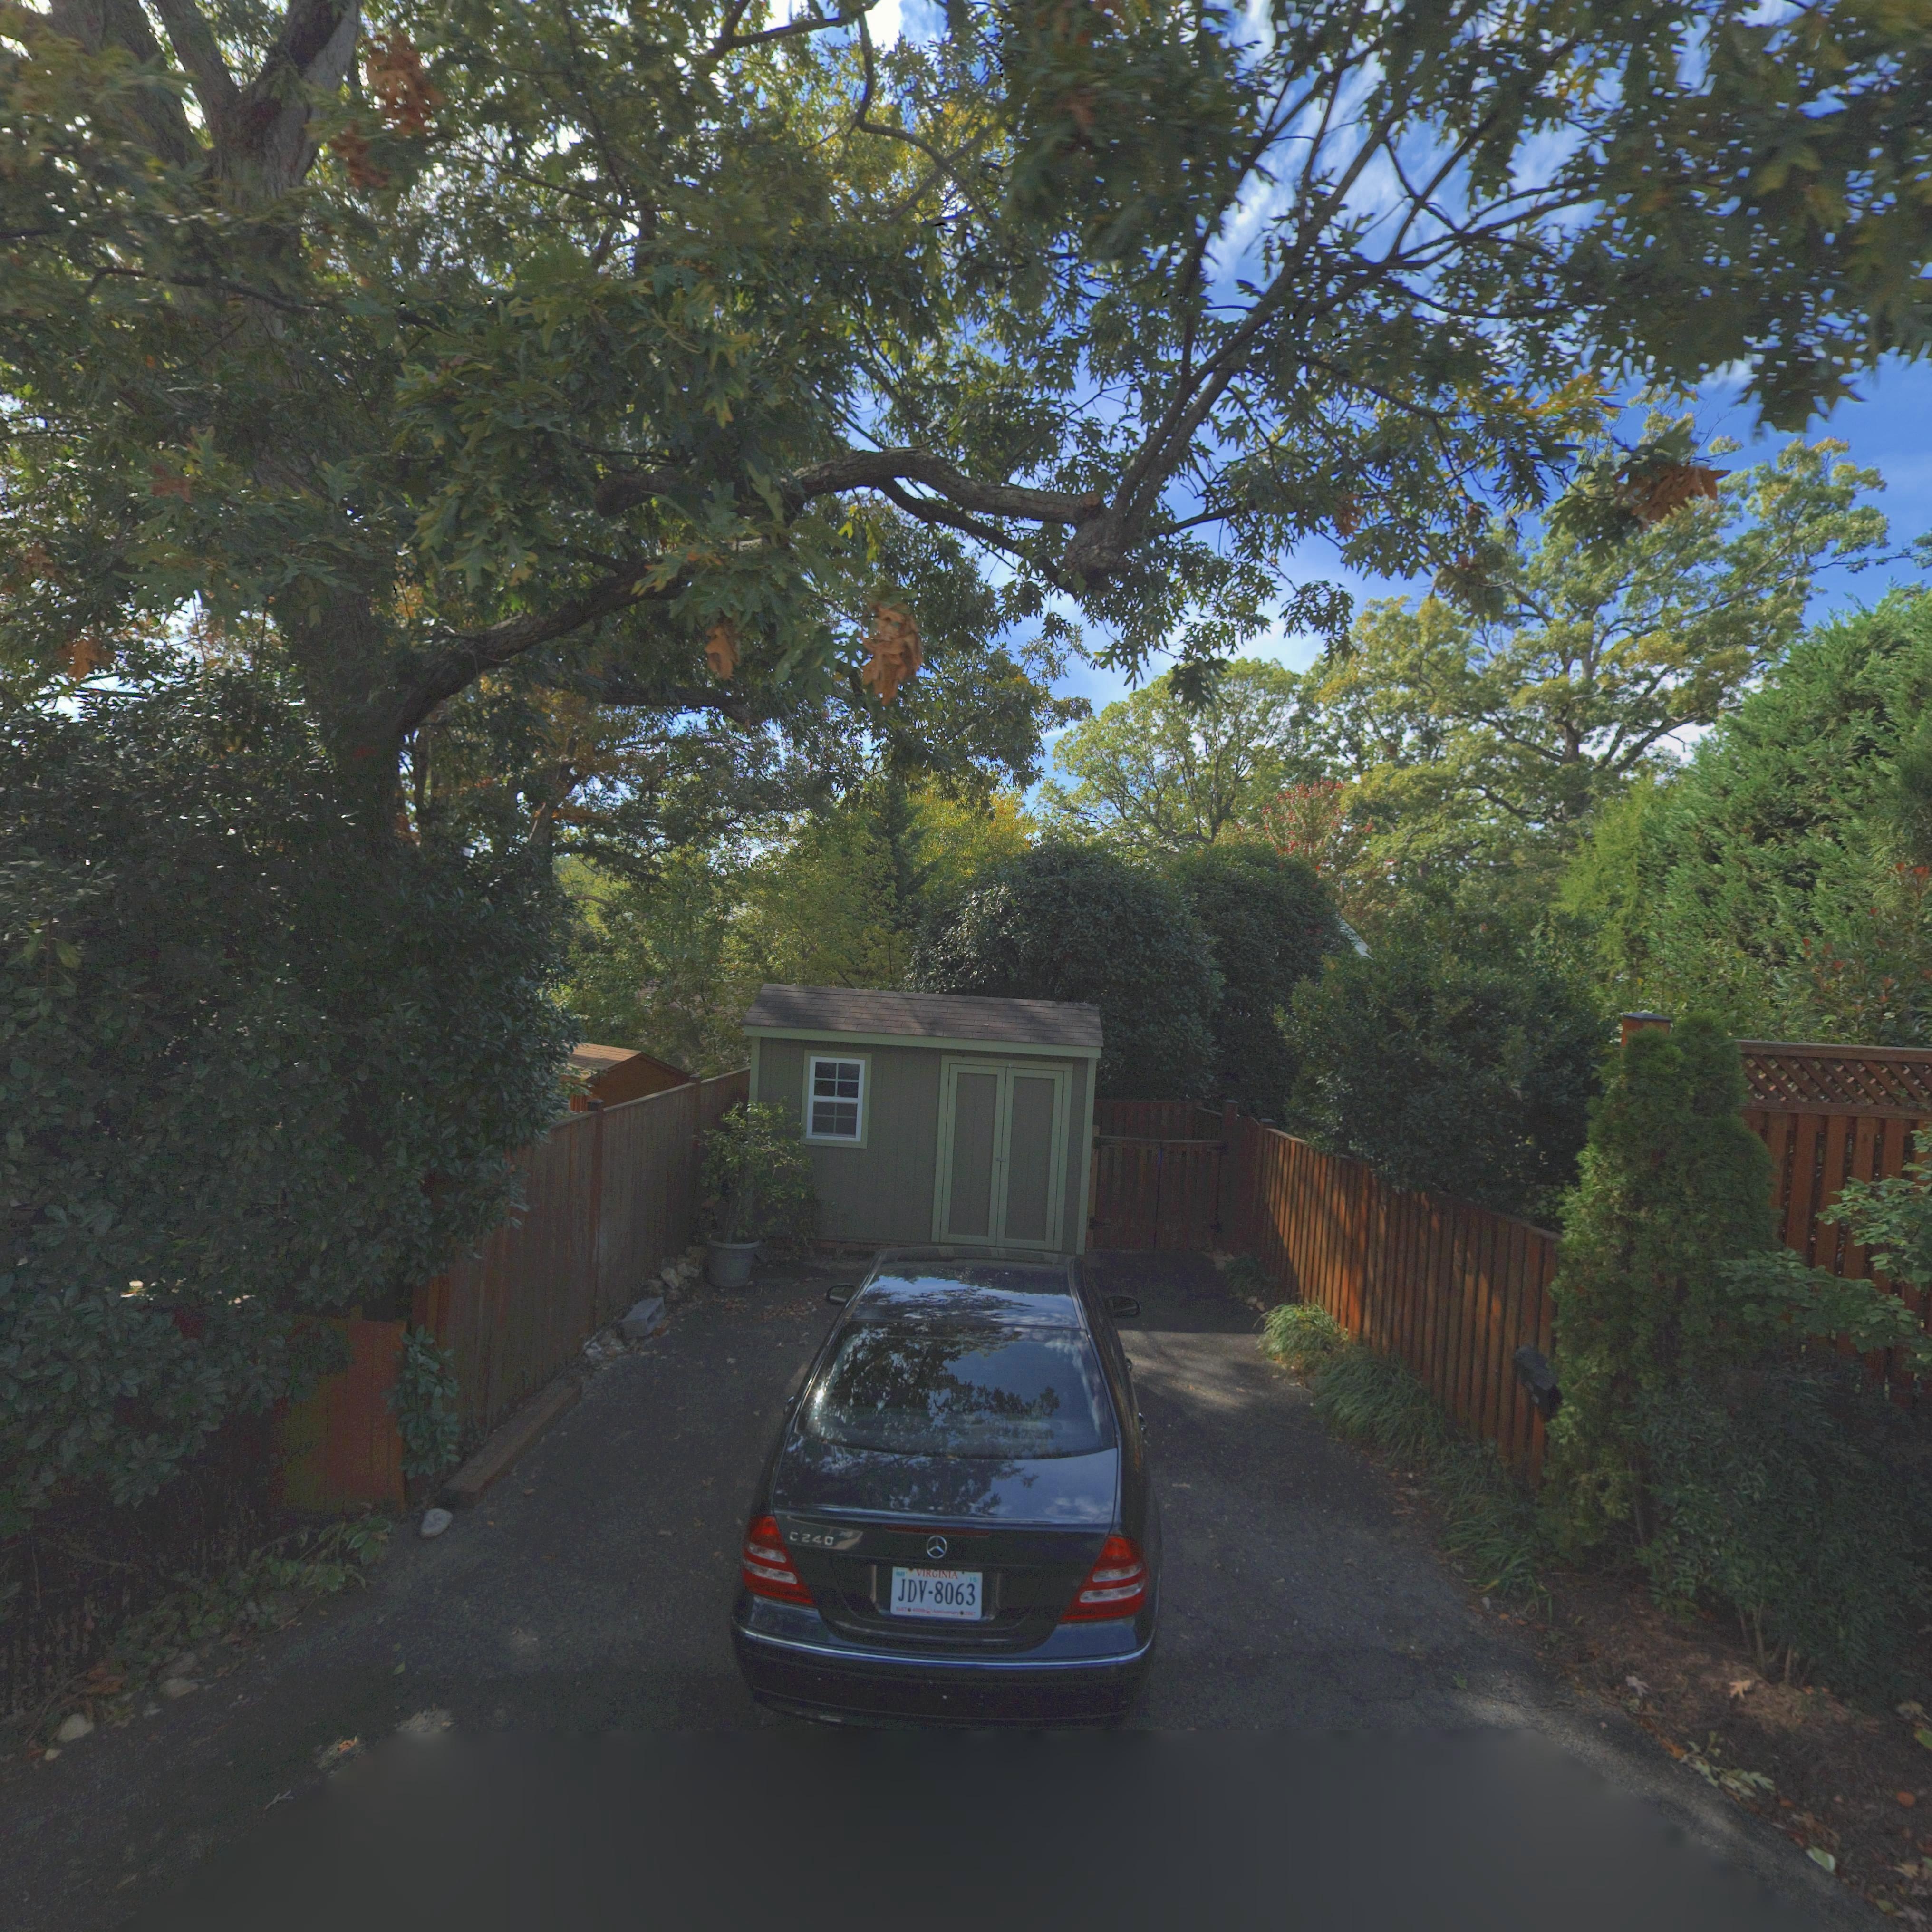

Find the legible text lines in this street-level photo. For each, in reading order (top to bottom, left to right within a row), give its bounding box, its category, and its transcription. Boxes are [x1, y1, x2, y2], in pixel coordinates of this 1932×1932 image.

[787, 1529, 836, 1547] None: C240
[914, 1567, 960, 1581] None: VIRGINA
[896, 1576, 977, 1608] None: JDV-8063